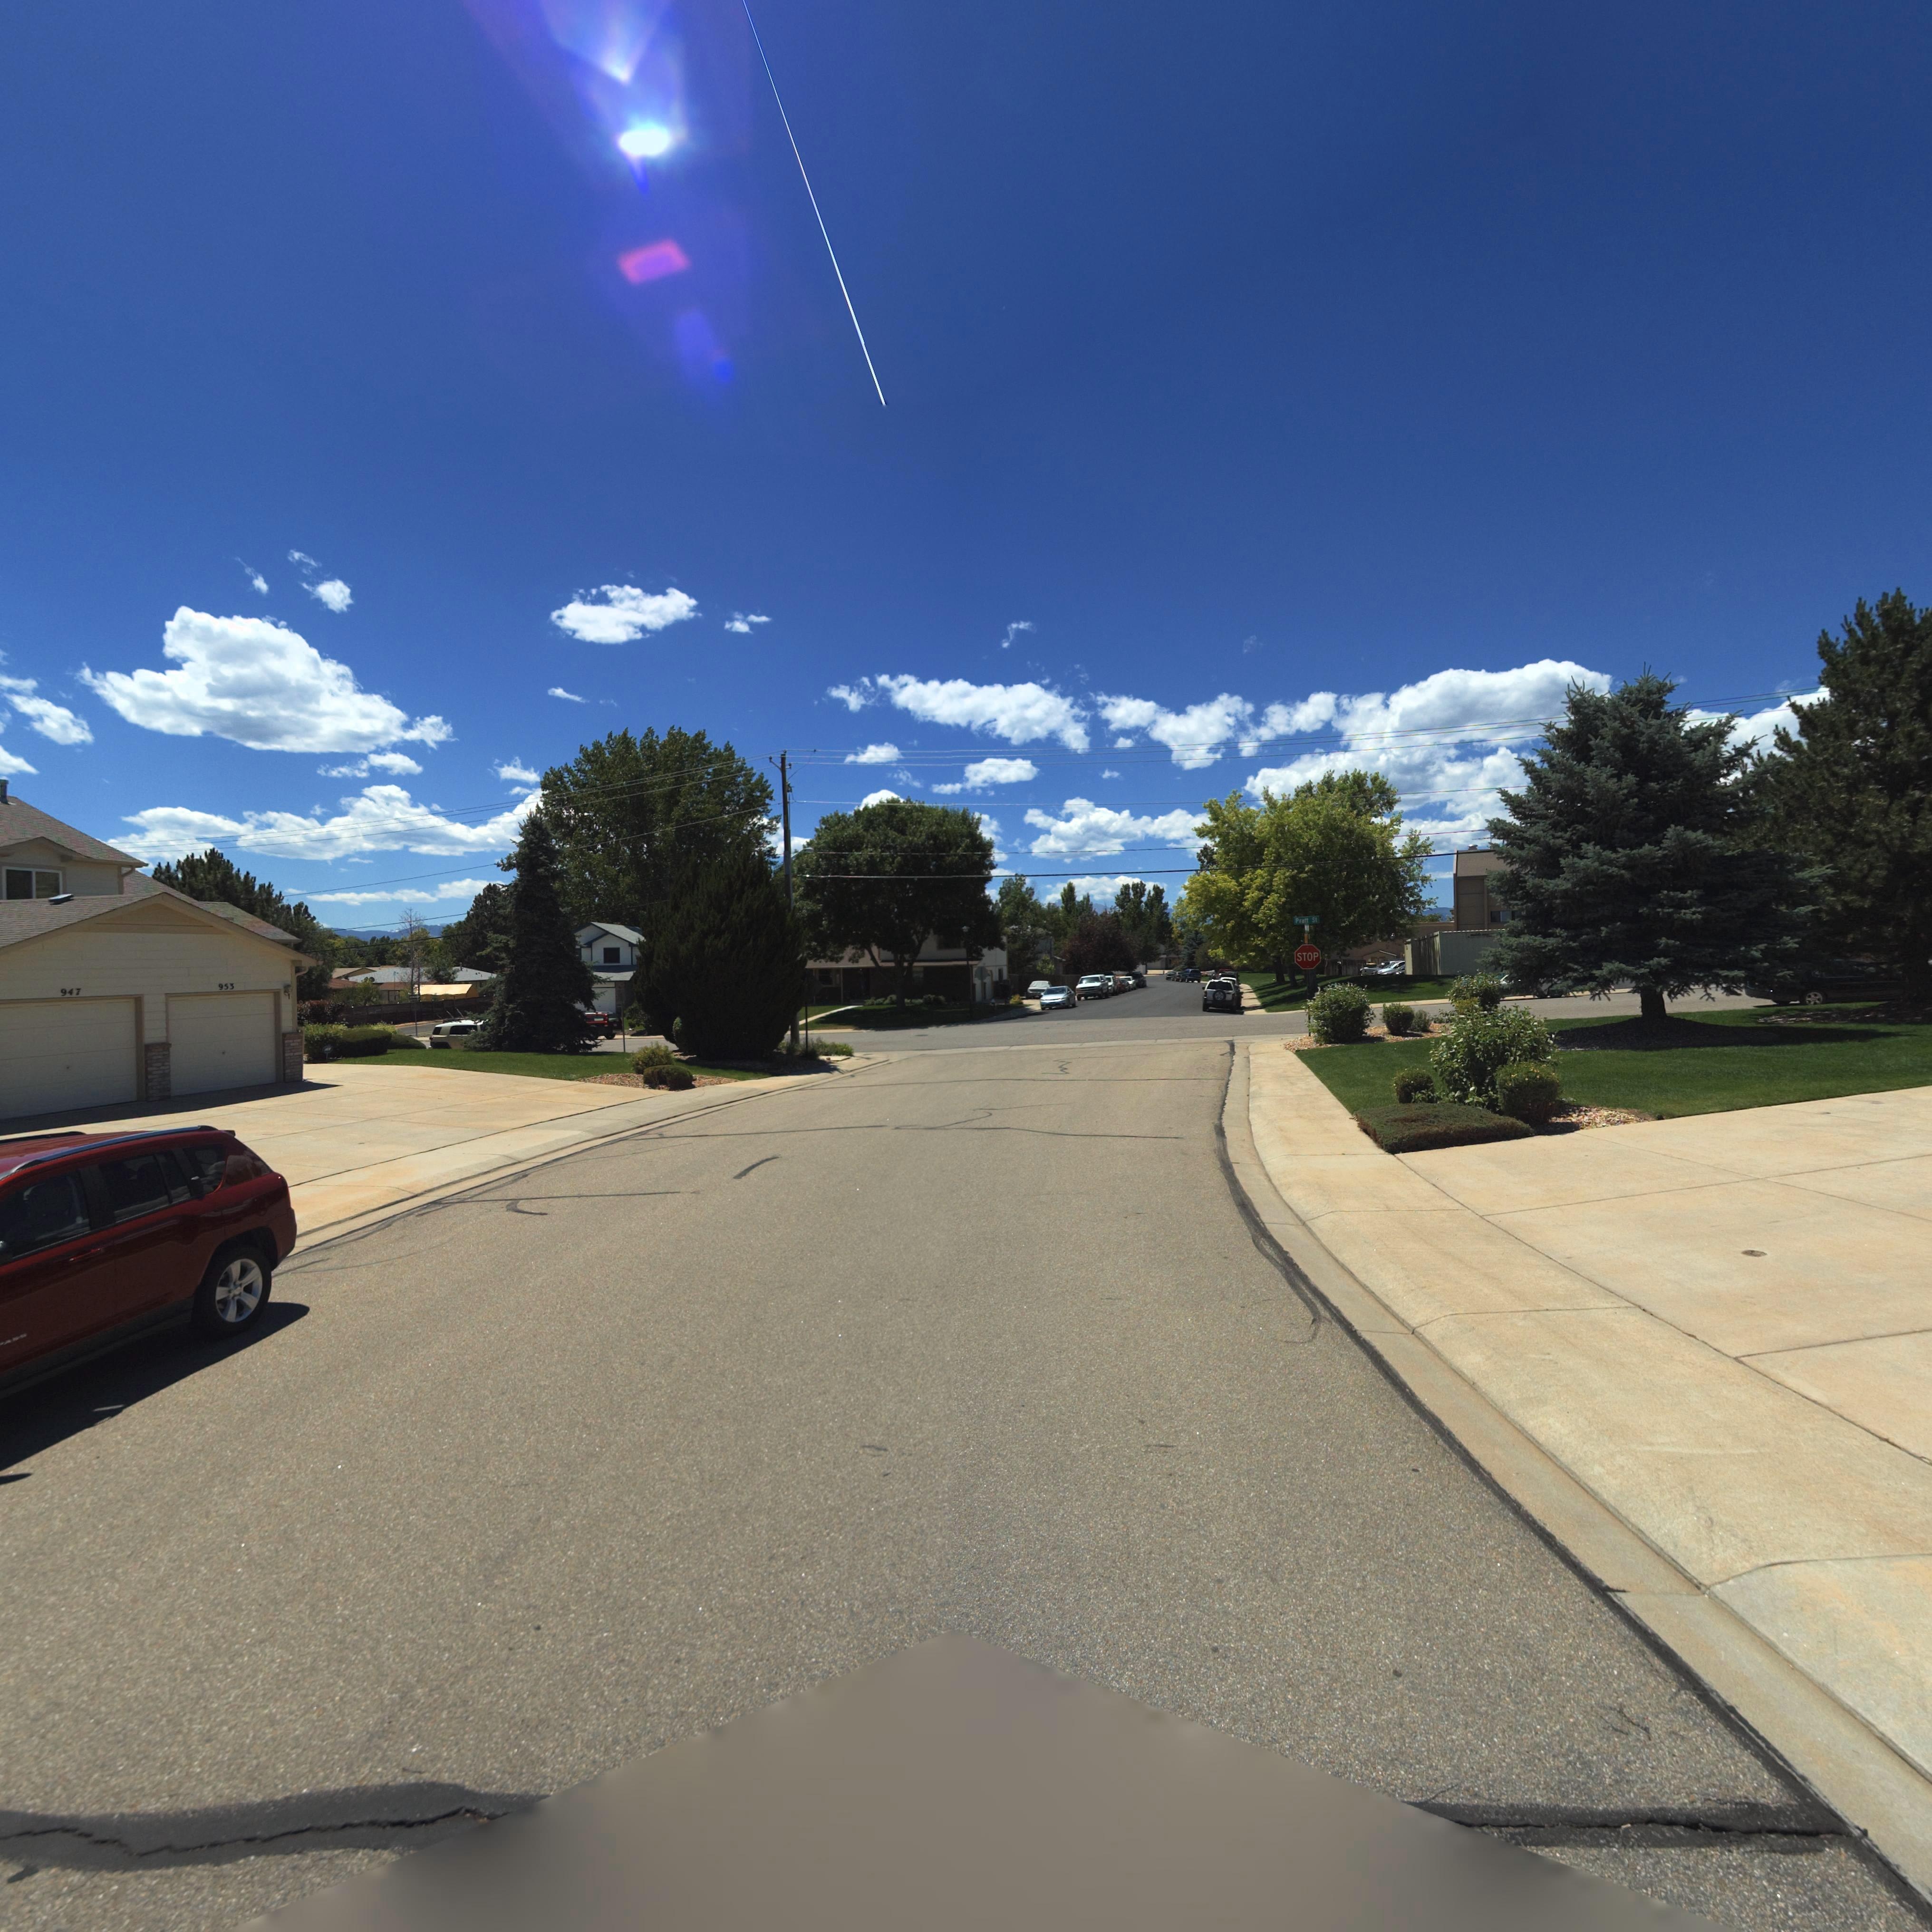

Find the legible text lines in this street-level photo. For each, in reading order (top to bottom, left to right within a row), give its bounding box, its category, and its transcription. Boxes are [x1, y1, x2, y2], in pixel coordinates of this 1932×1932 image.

[1295, 917, 1318, 924] StreetName: Pratt St
[218, 983, 234, 990] StreetNumber: 953
[60, 987, 81, 996] StreetNumber: 947